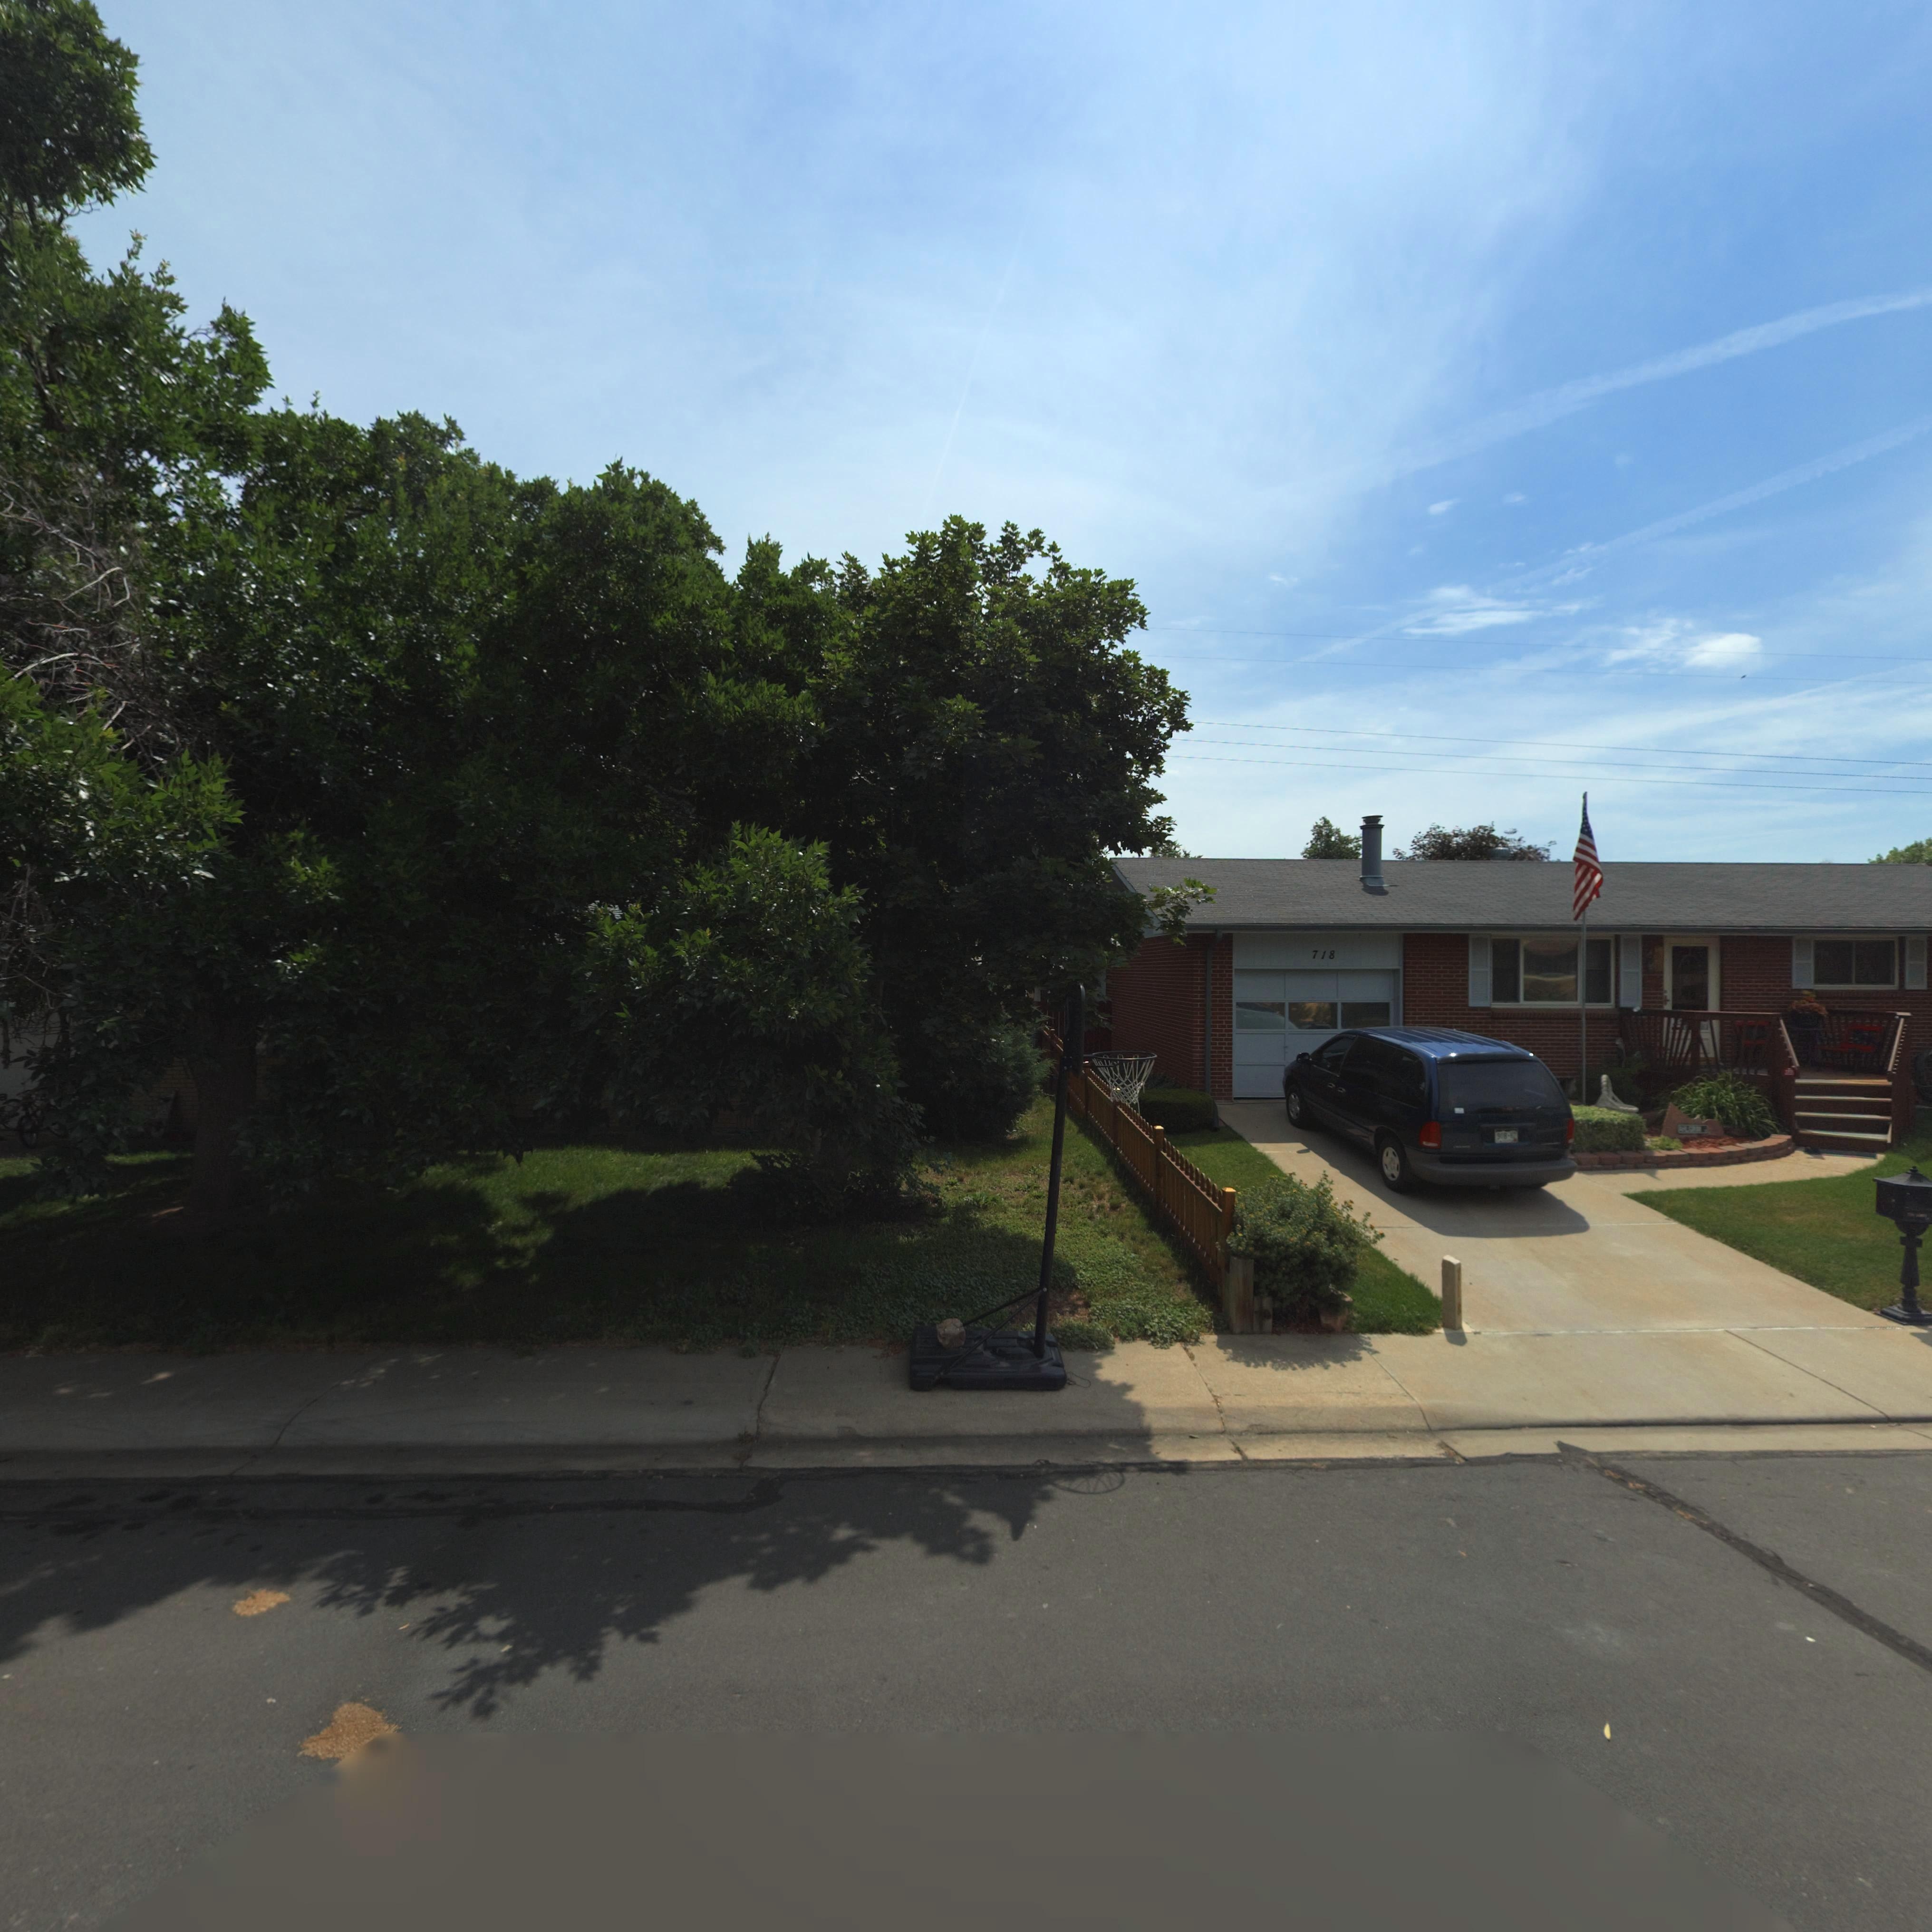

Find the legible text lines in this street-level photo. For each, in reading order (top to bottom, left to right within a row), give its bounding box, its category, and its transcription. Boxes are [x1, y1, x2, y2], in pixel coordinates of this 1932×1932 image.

[1311, 949, 1336, 959] StreetNumber: 718